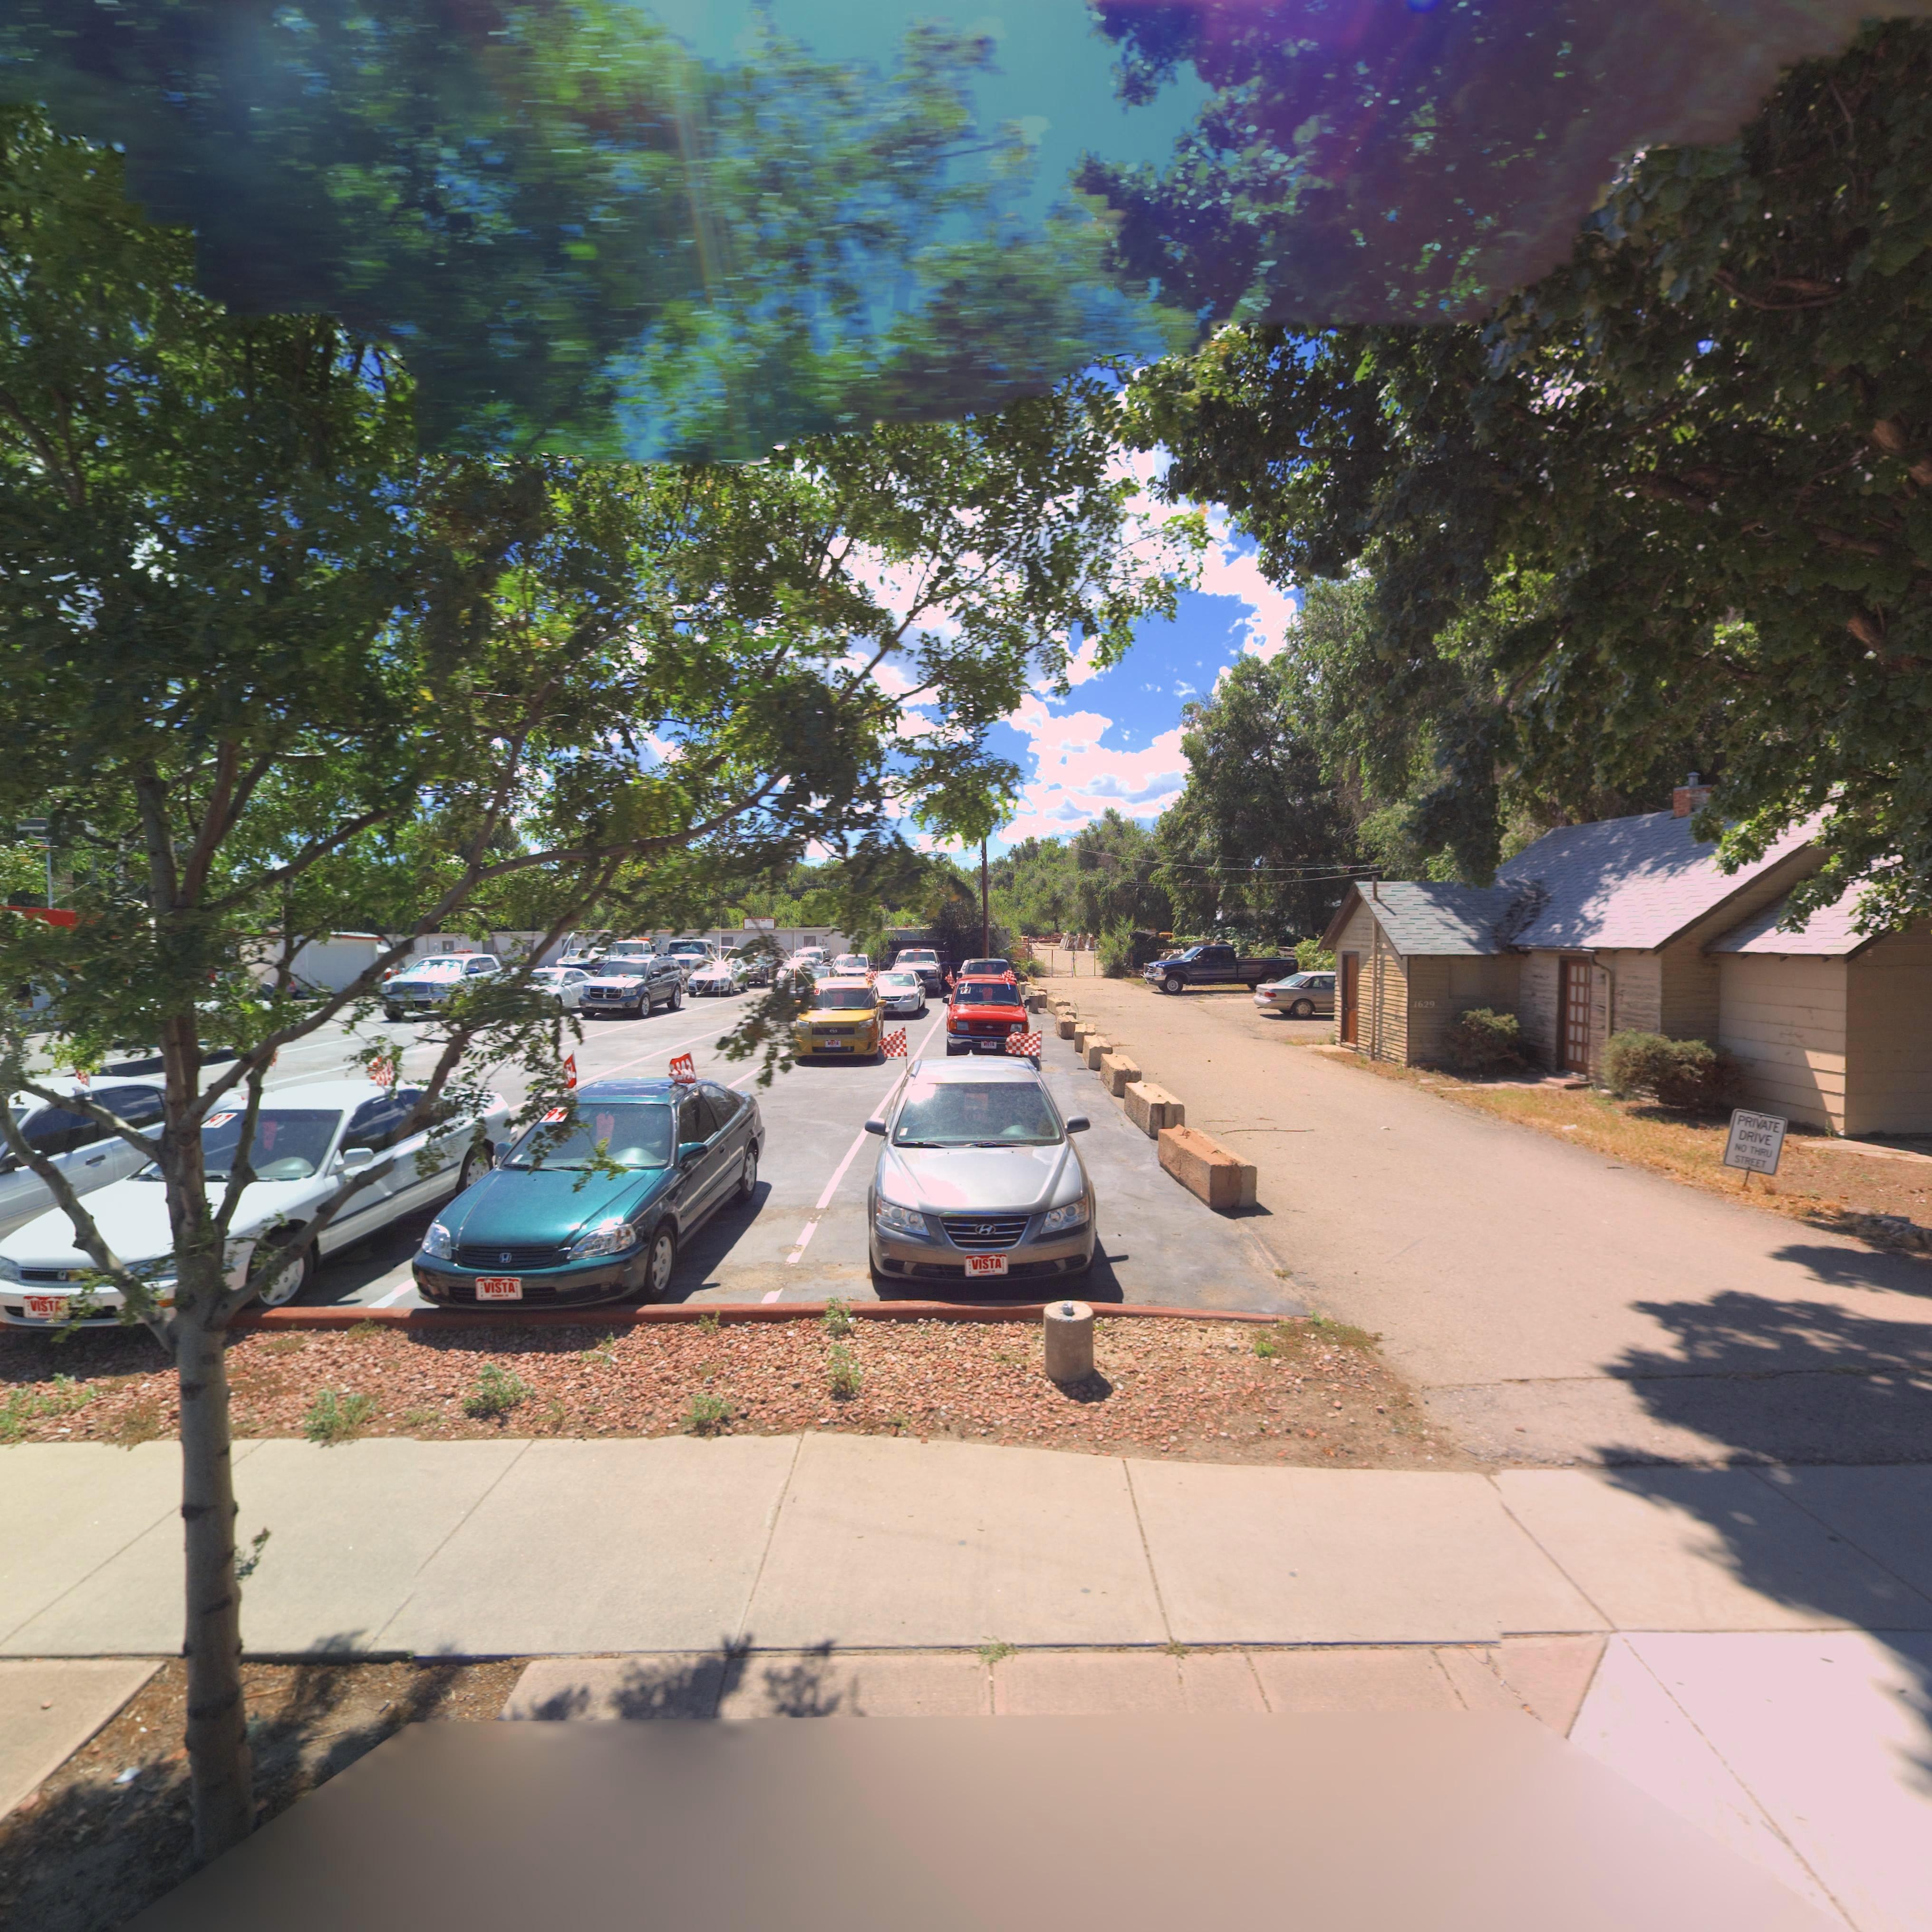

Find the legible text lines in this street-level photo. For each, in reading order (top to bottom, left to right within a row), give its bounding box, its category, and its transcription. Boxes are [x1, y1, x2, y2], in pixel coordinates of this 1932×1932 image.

[1414, 1001, 1435, 1008] StreetNumber: 1629